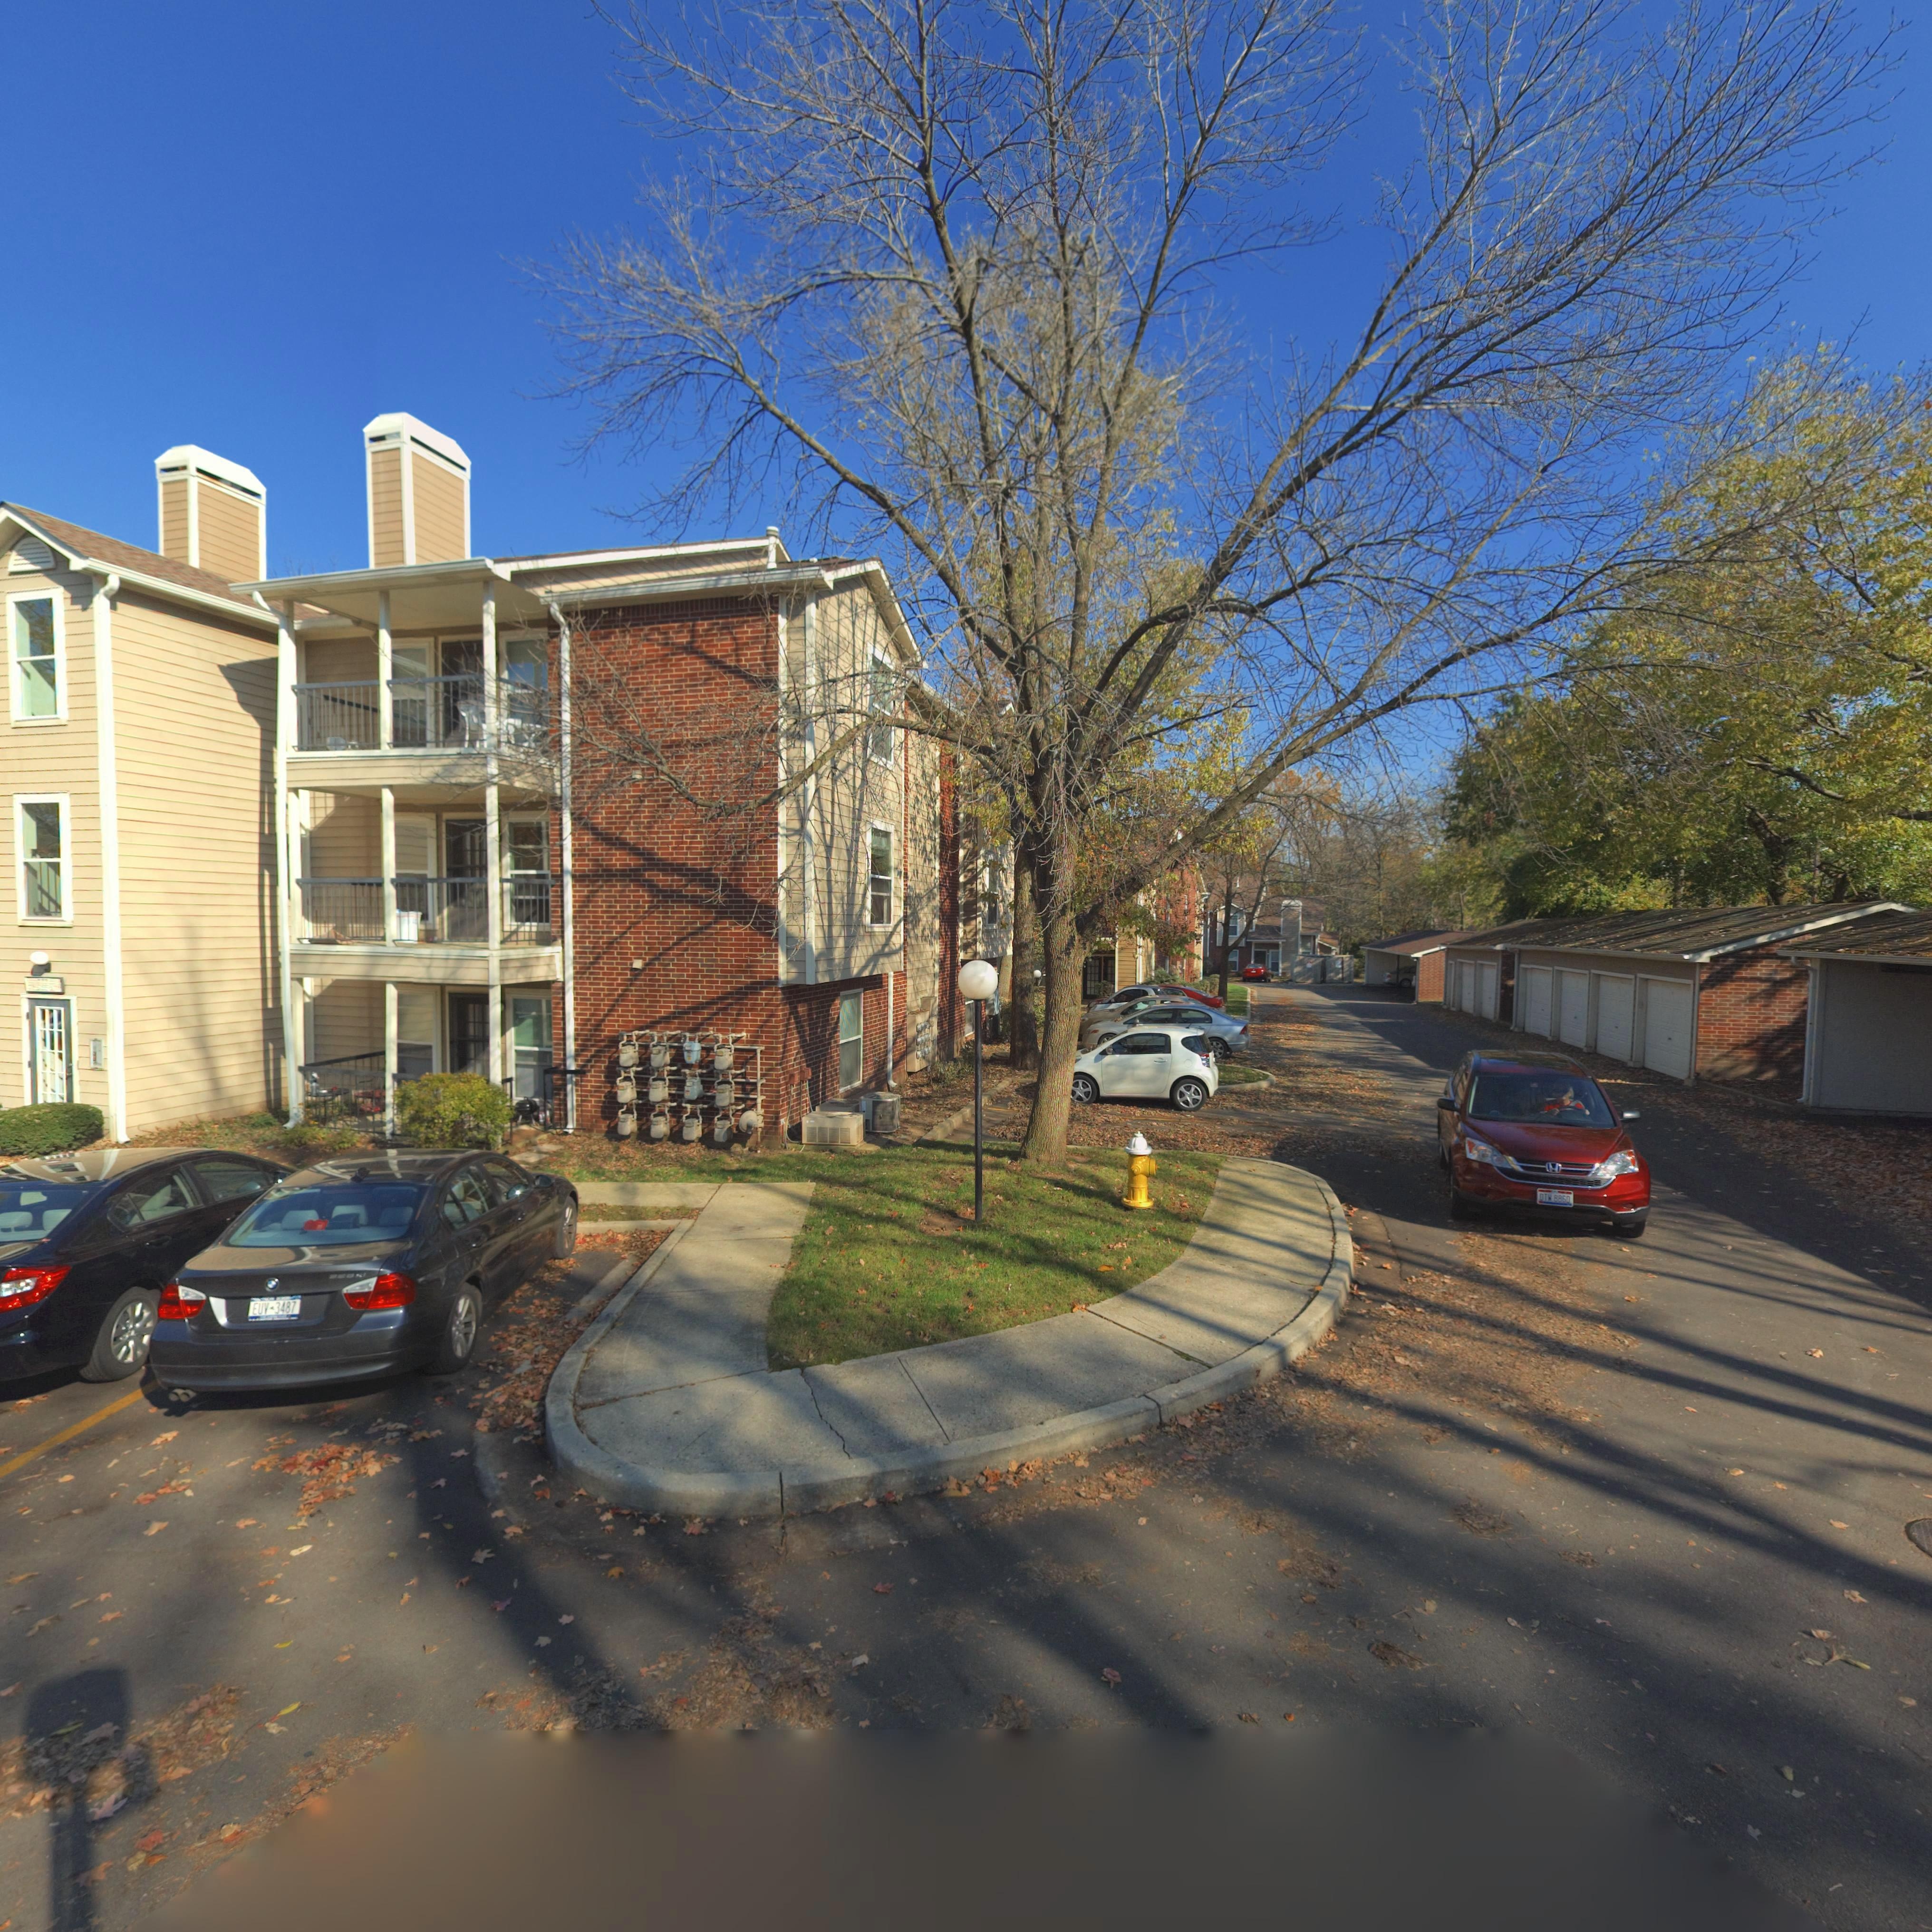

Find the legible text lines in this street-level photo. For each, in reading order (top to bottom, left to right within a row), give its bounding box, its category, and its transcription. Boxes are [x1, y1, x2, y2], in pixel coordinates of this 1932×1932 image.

[1538, 1192, 1572, 1204] None: DTW 8860
[251, 1299, 298, 1317] None: EUV-3487